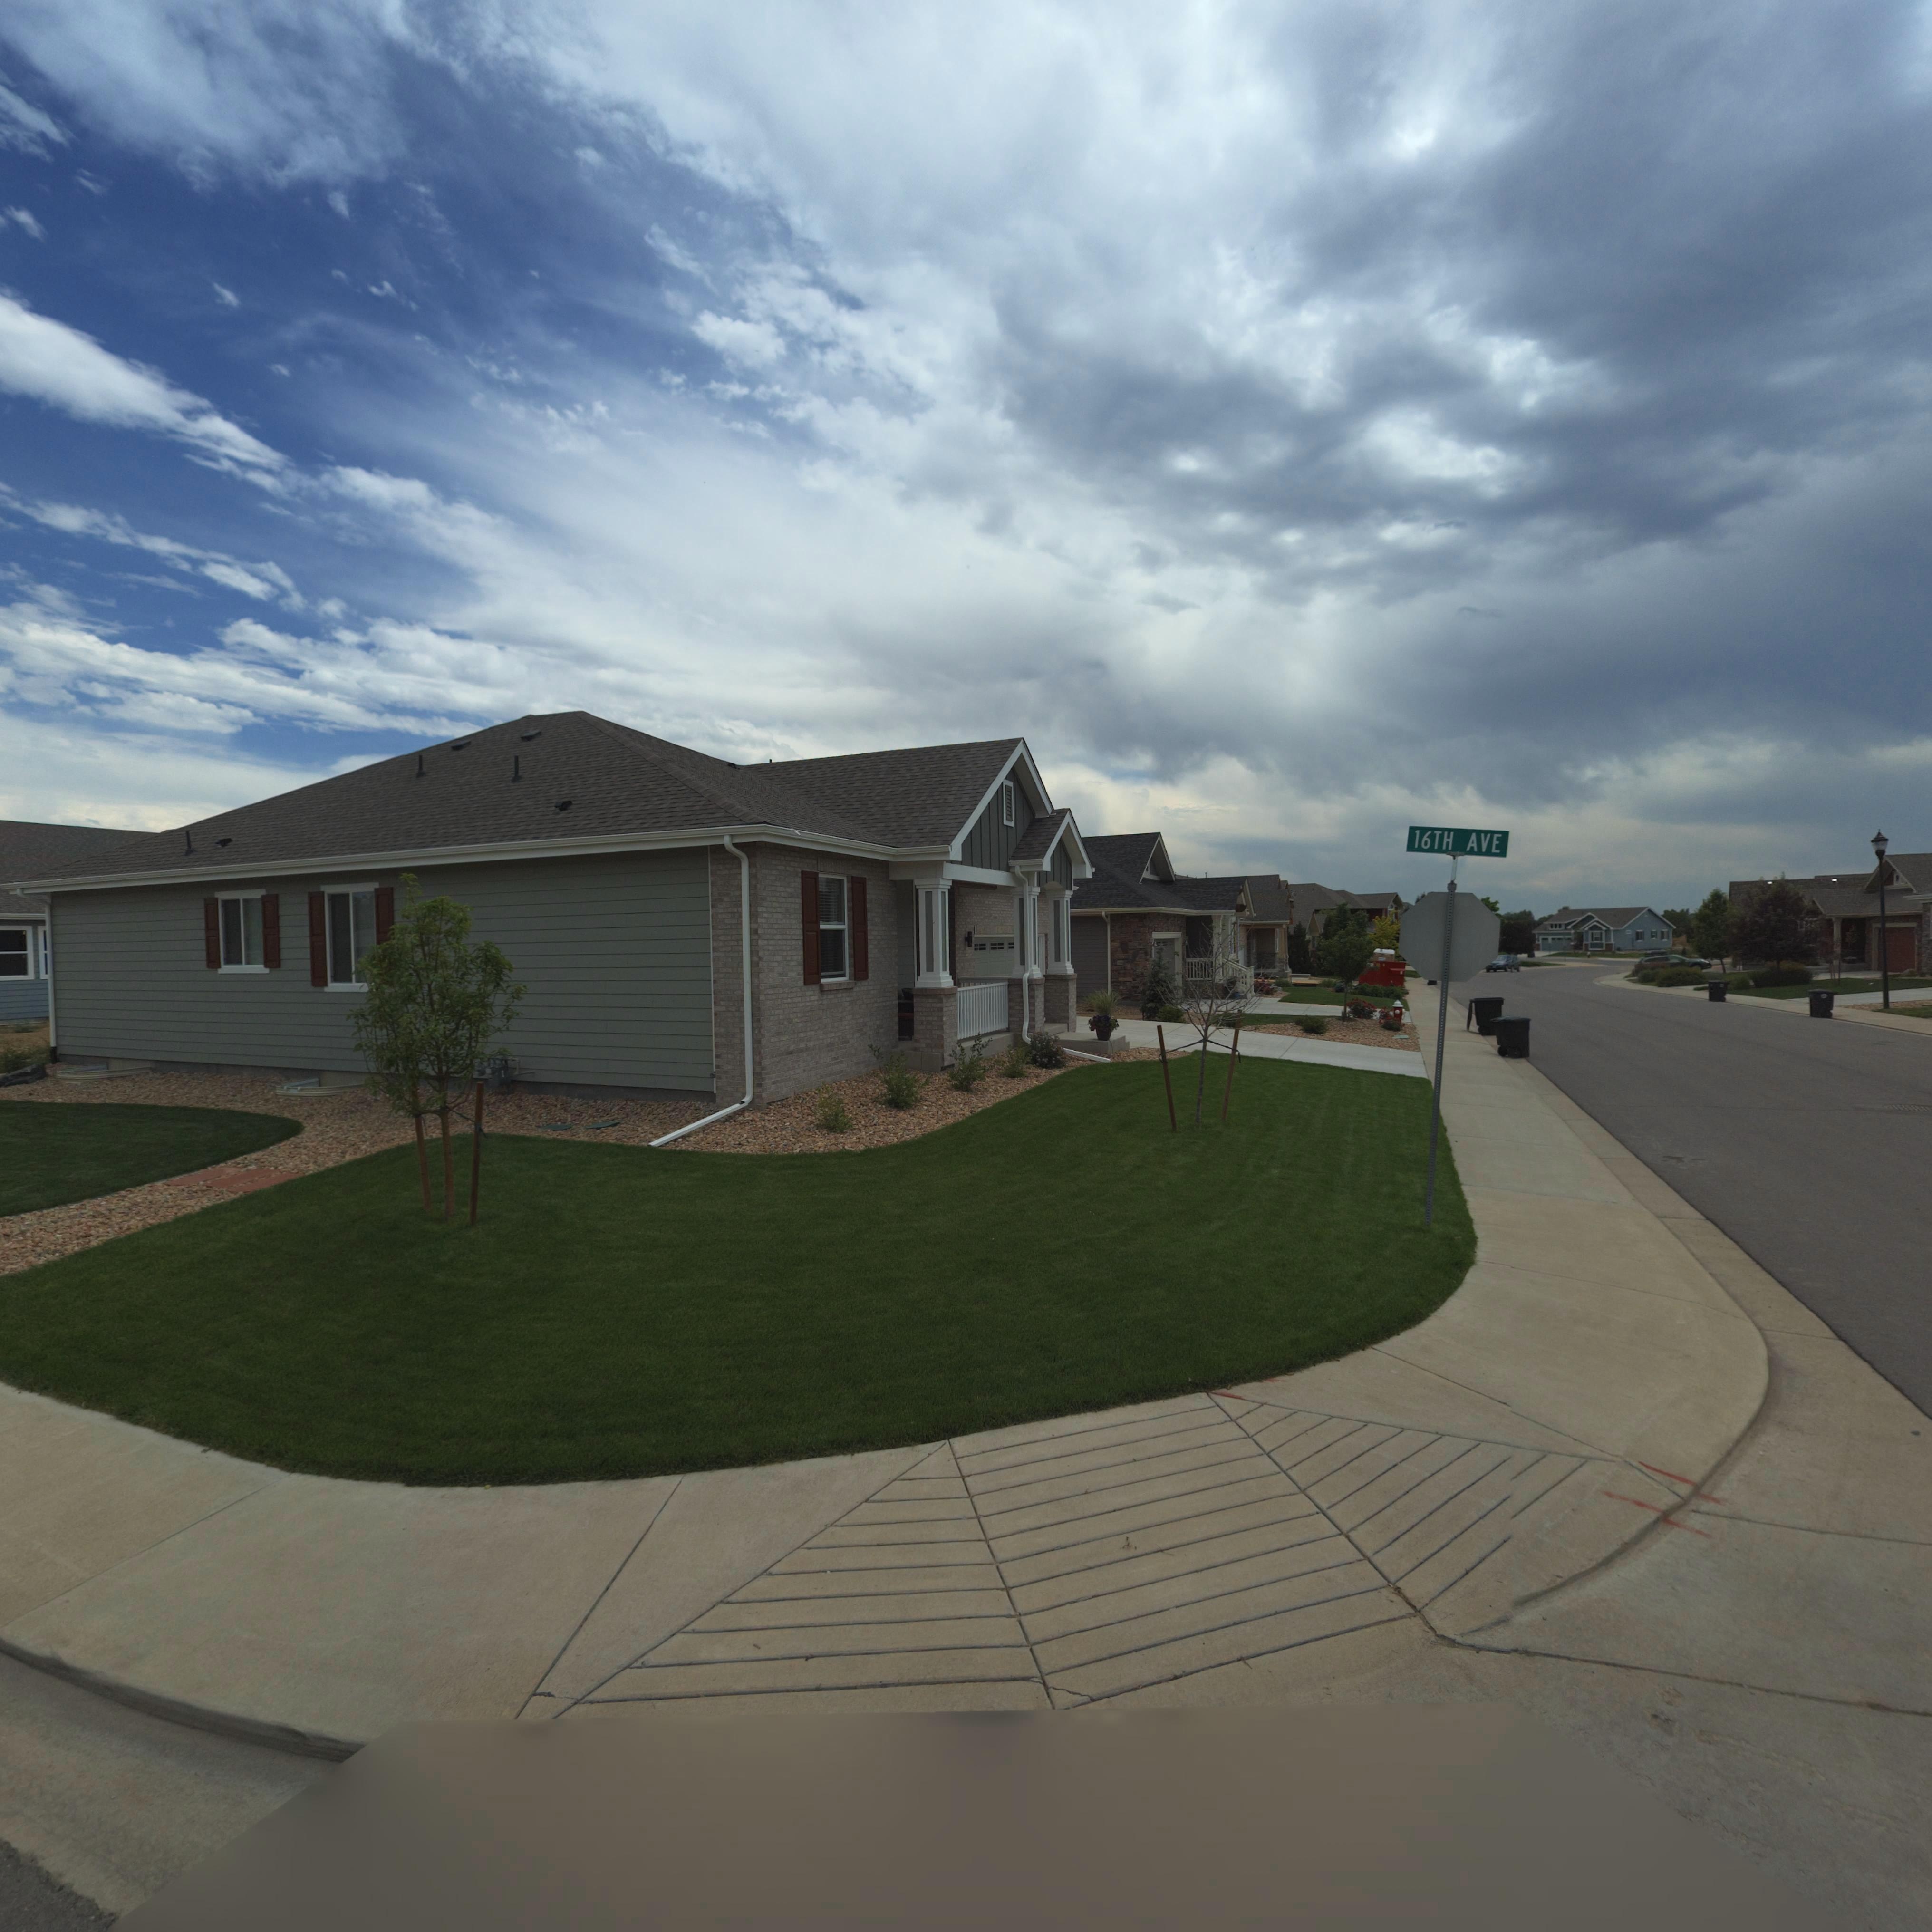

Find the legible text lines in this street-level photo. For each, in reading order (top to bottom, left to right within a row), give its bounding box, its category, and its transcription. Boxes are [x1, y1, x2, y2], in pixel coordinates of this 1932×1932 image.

[1414, 829, 1502, 854] StreetName: 16TH AVE